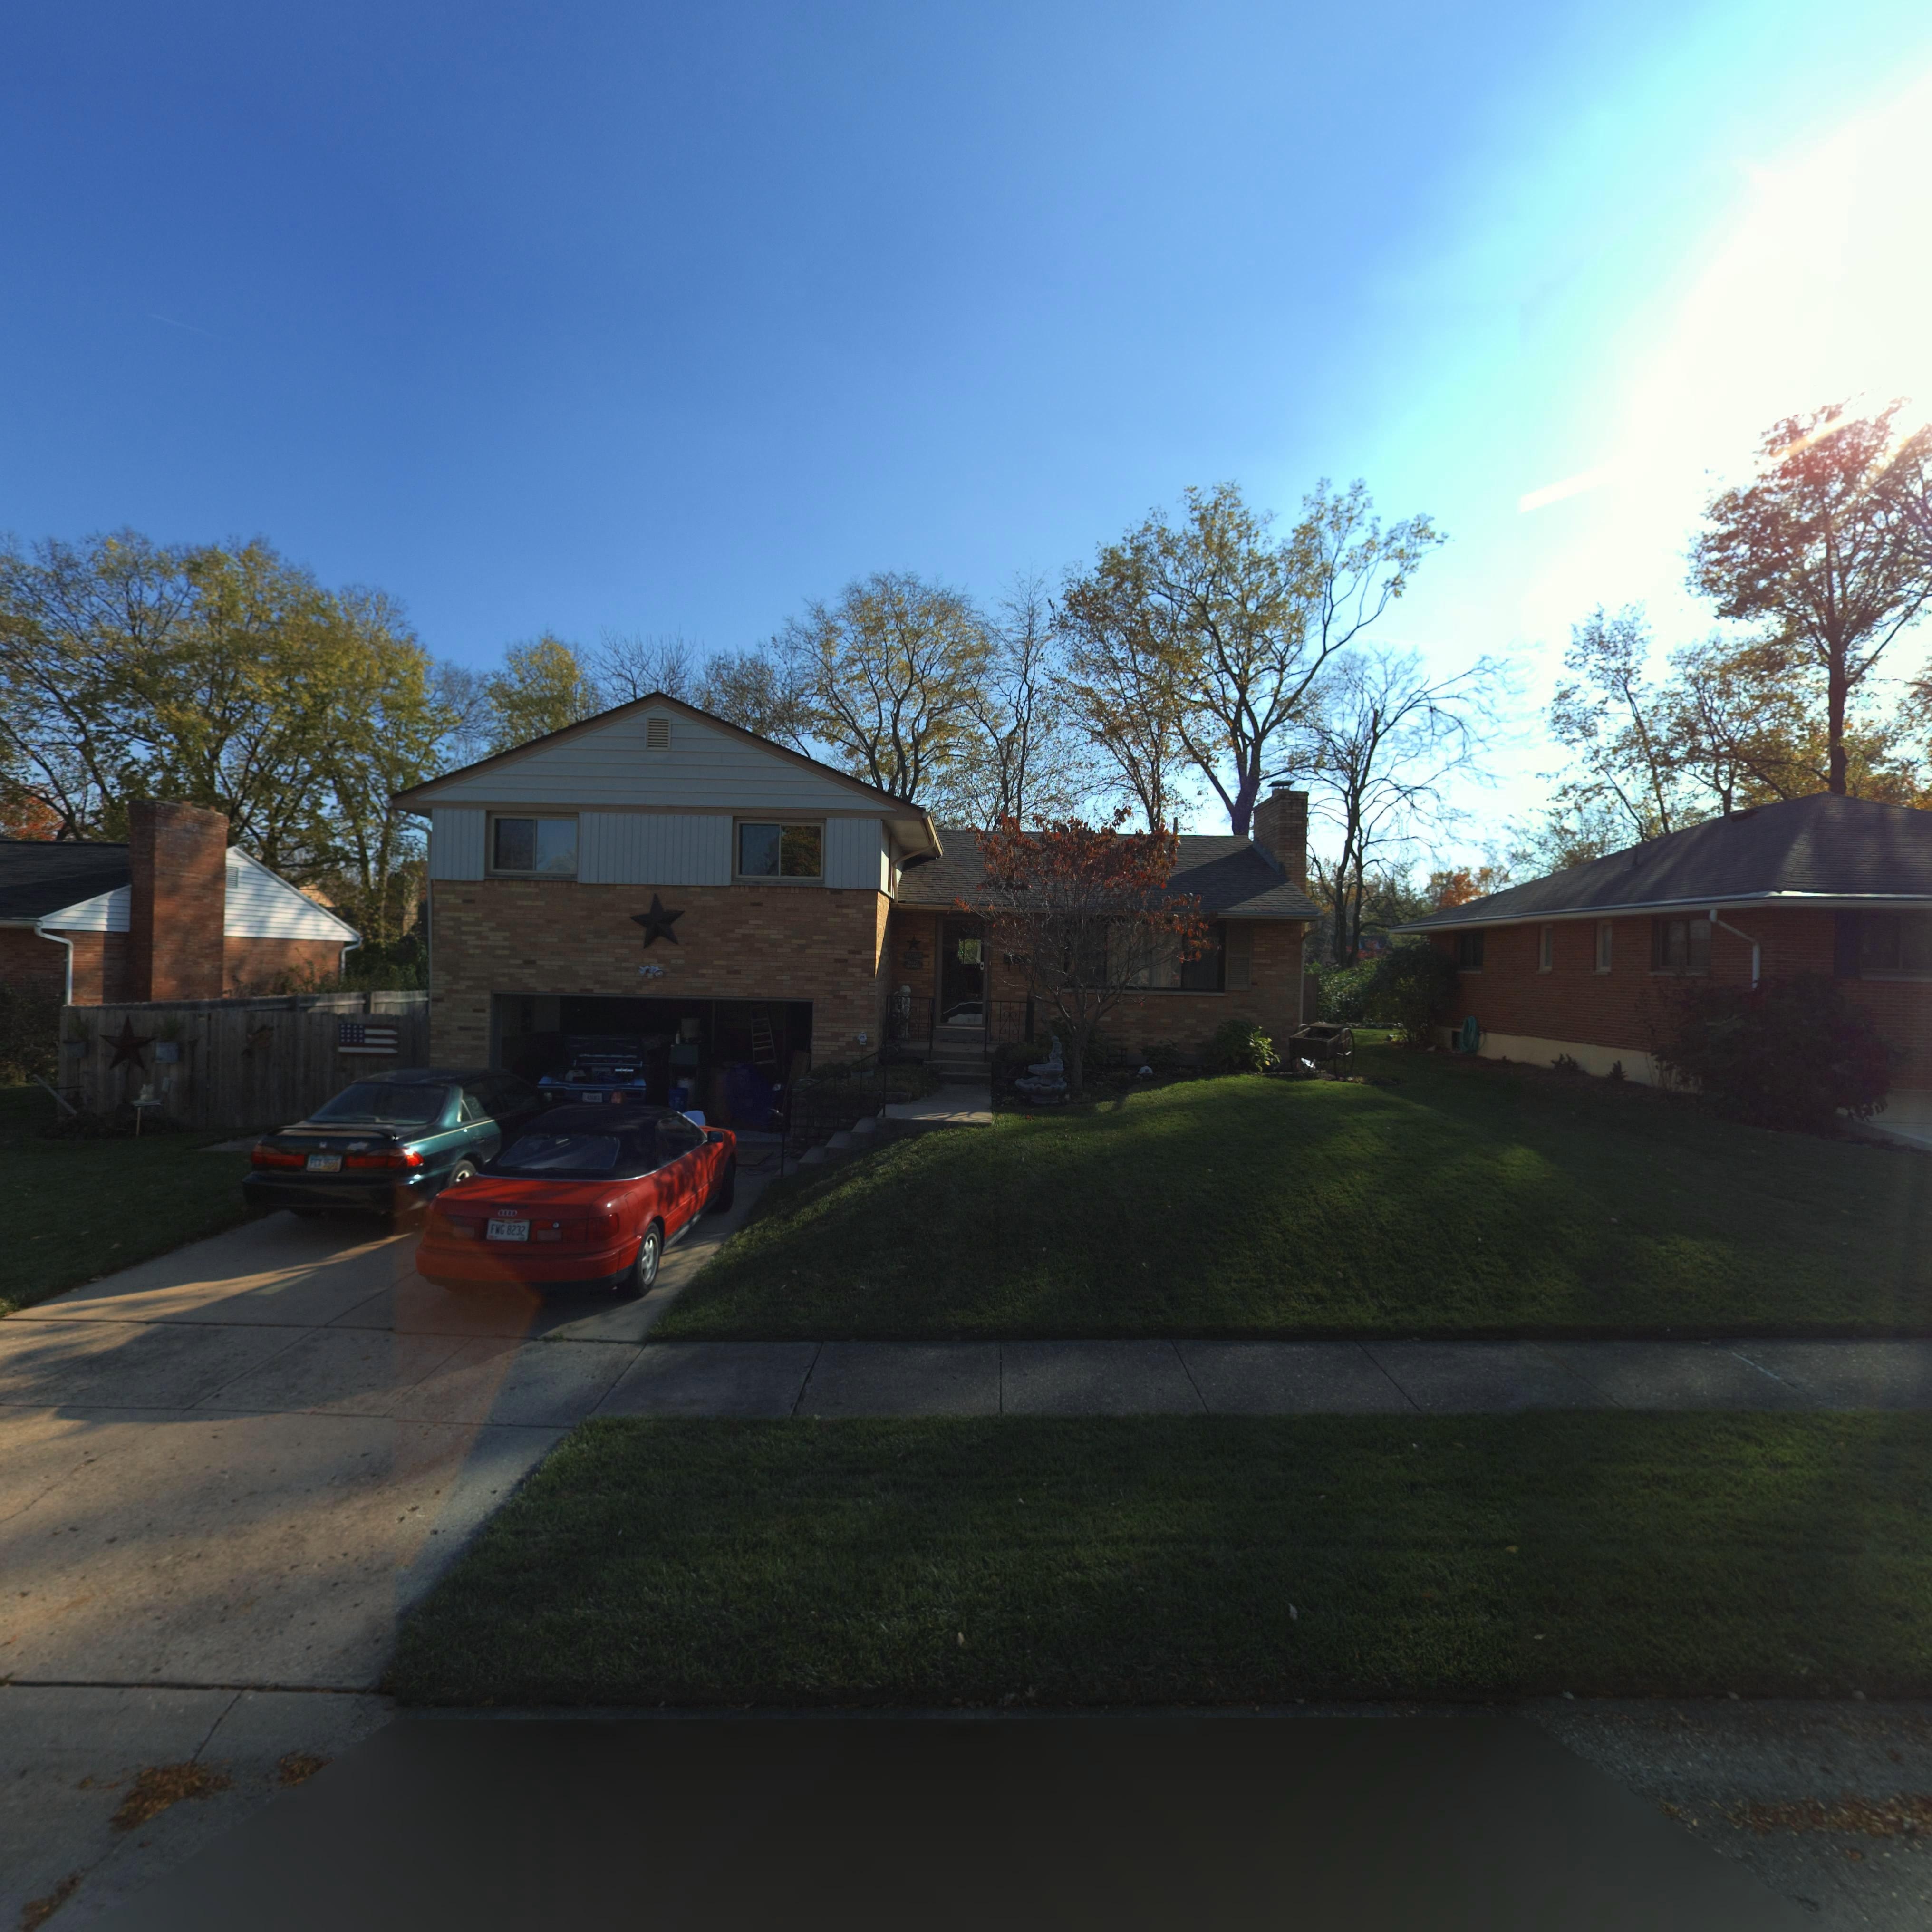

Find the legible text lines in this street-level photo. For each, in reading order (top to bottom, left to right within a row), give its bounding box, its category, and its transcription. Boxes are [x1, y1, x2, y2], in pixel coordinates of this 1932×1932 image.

[1005, 938, 1024, 946] StreetNumber: 62*